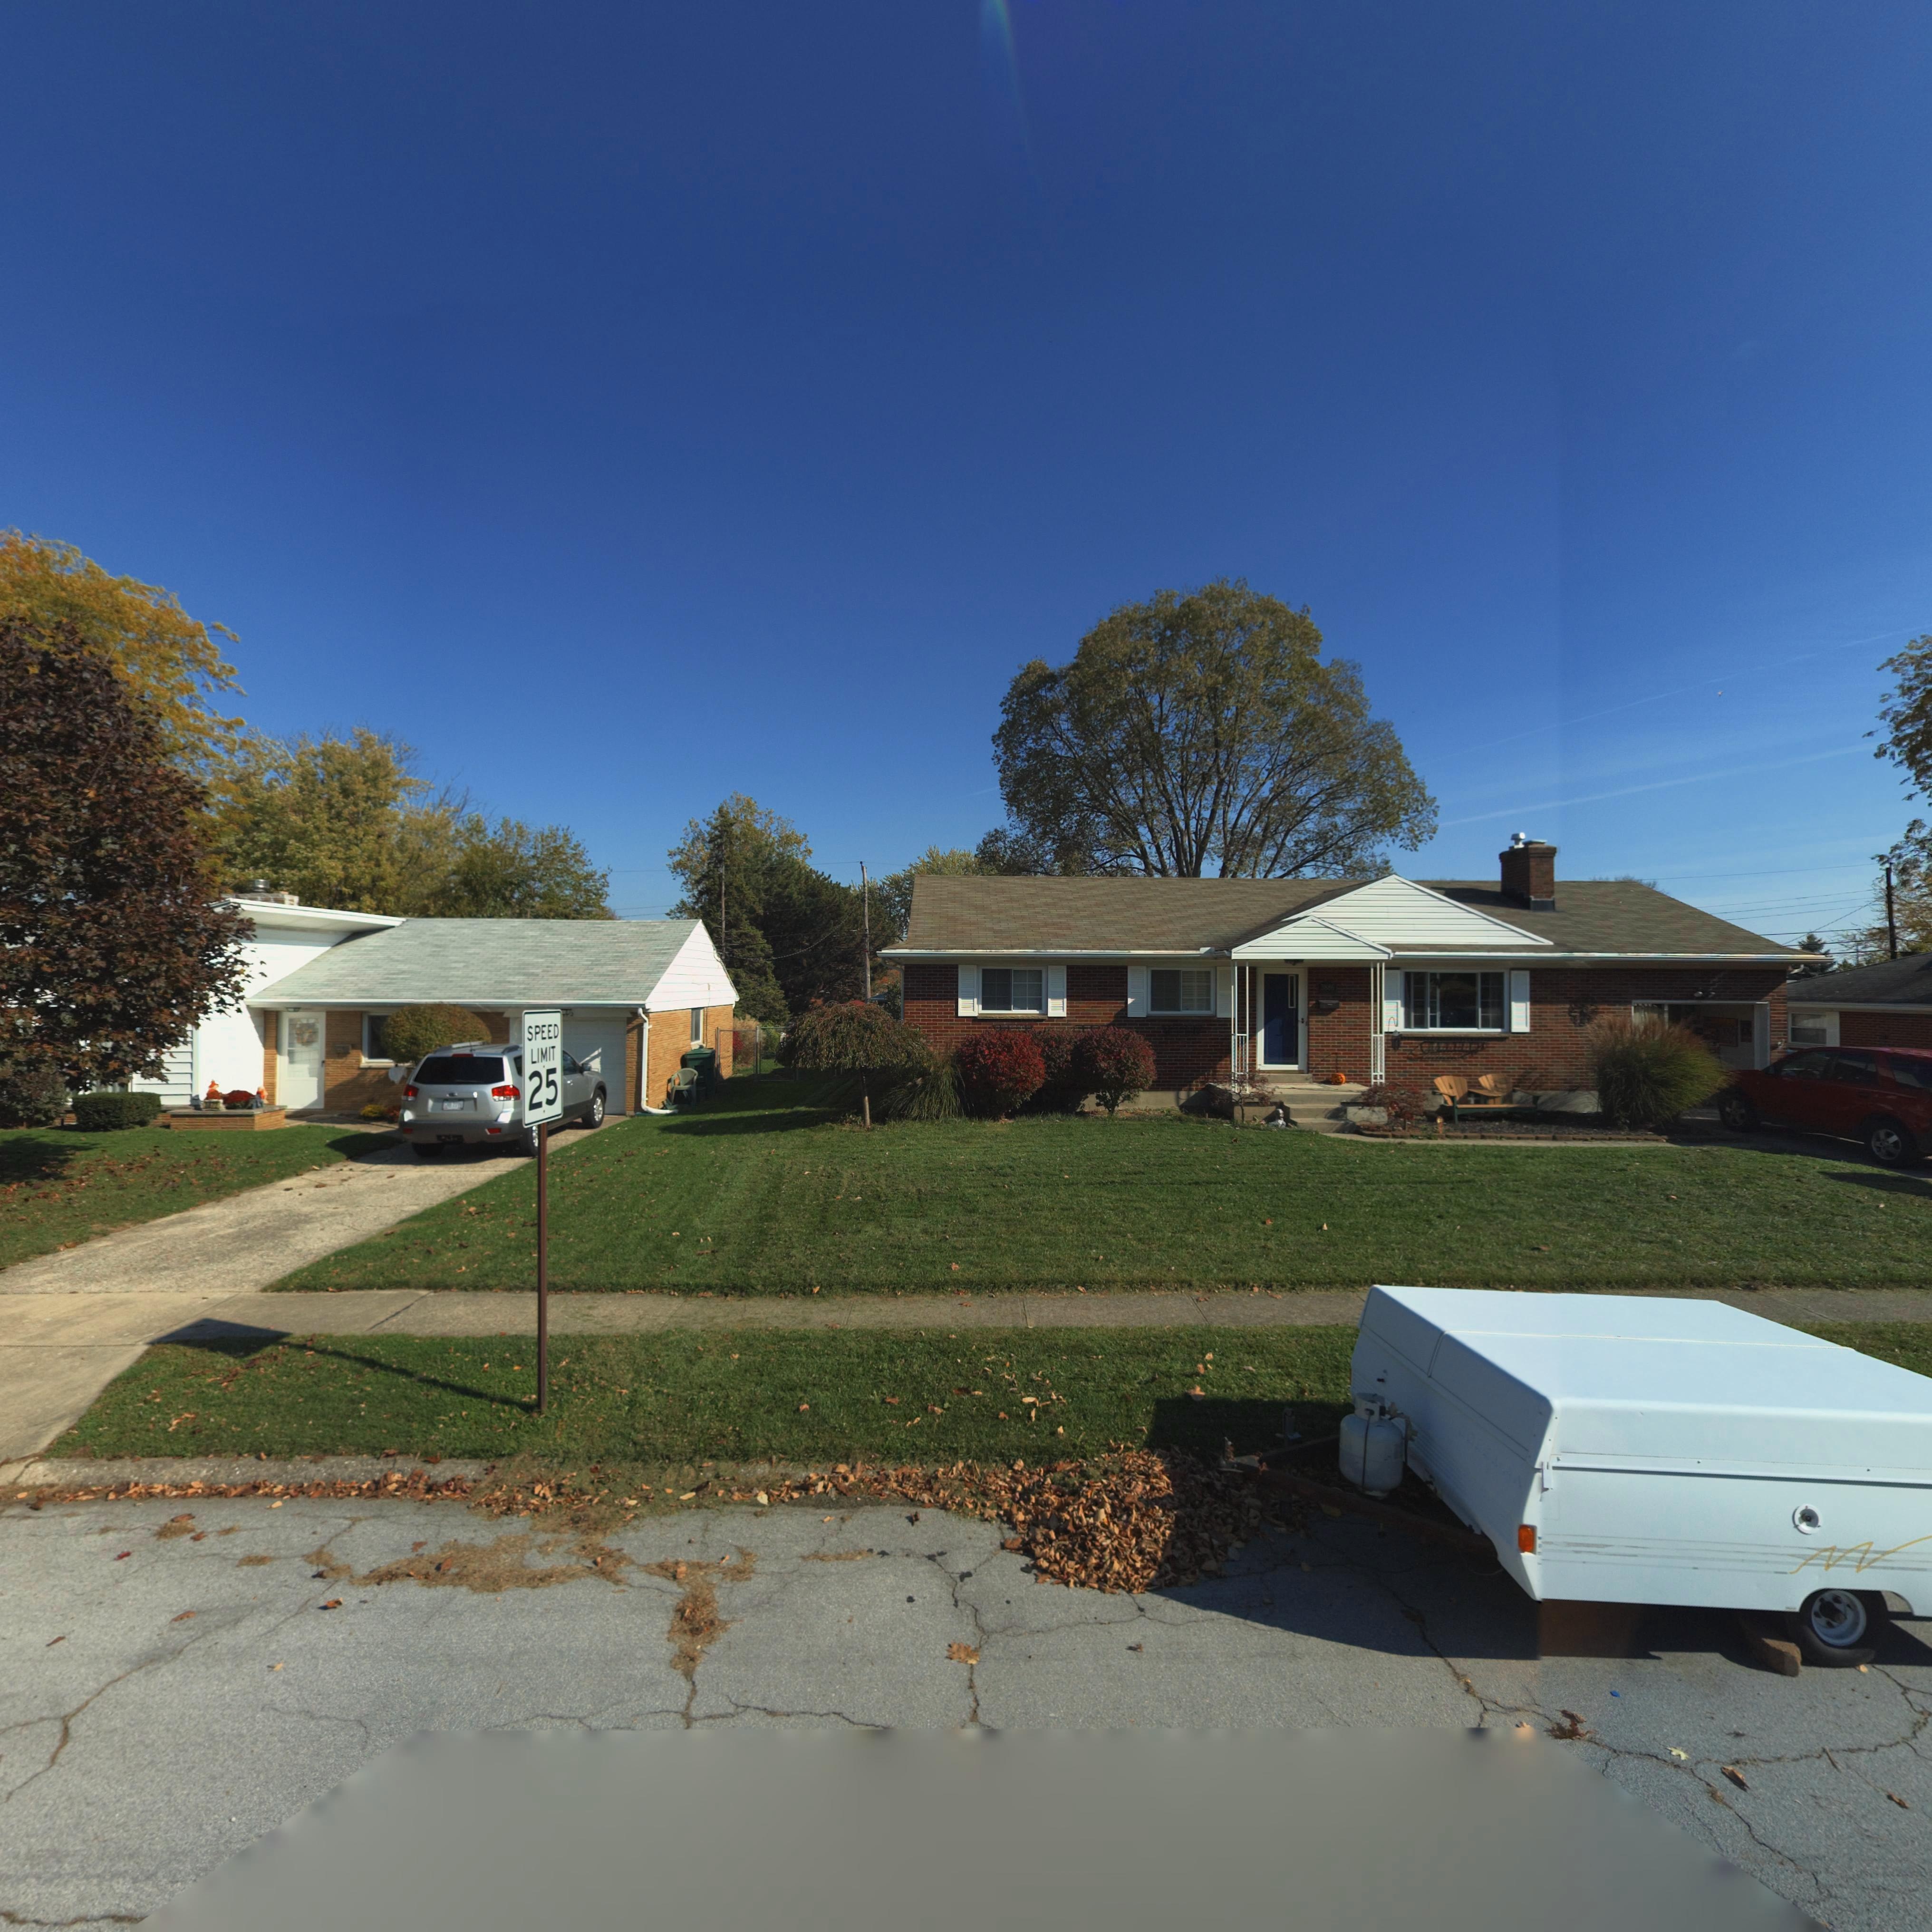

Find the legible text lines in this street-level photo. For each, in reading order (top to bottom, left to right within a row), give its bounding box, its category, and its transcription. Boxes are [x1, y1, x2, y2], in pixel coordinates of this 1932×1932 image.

[527, 1023, 559, 1042] None: SPEED
[530, 1045, 556, 1065] None: LIMIT
[526, 1065, 559, 1112] None: 25